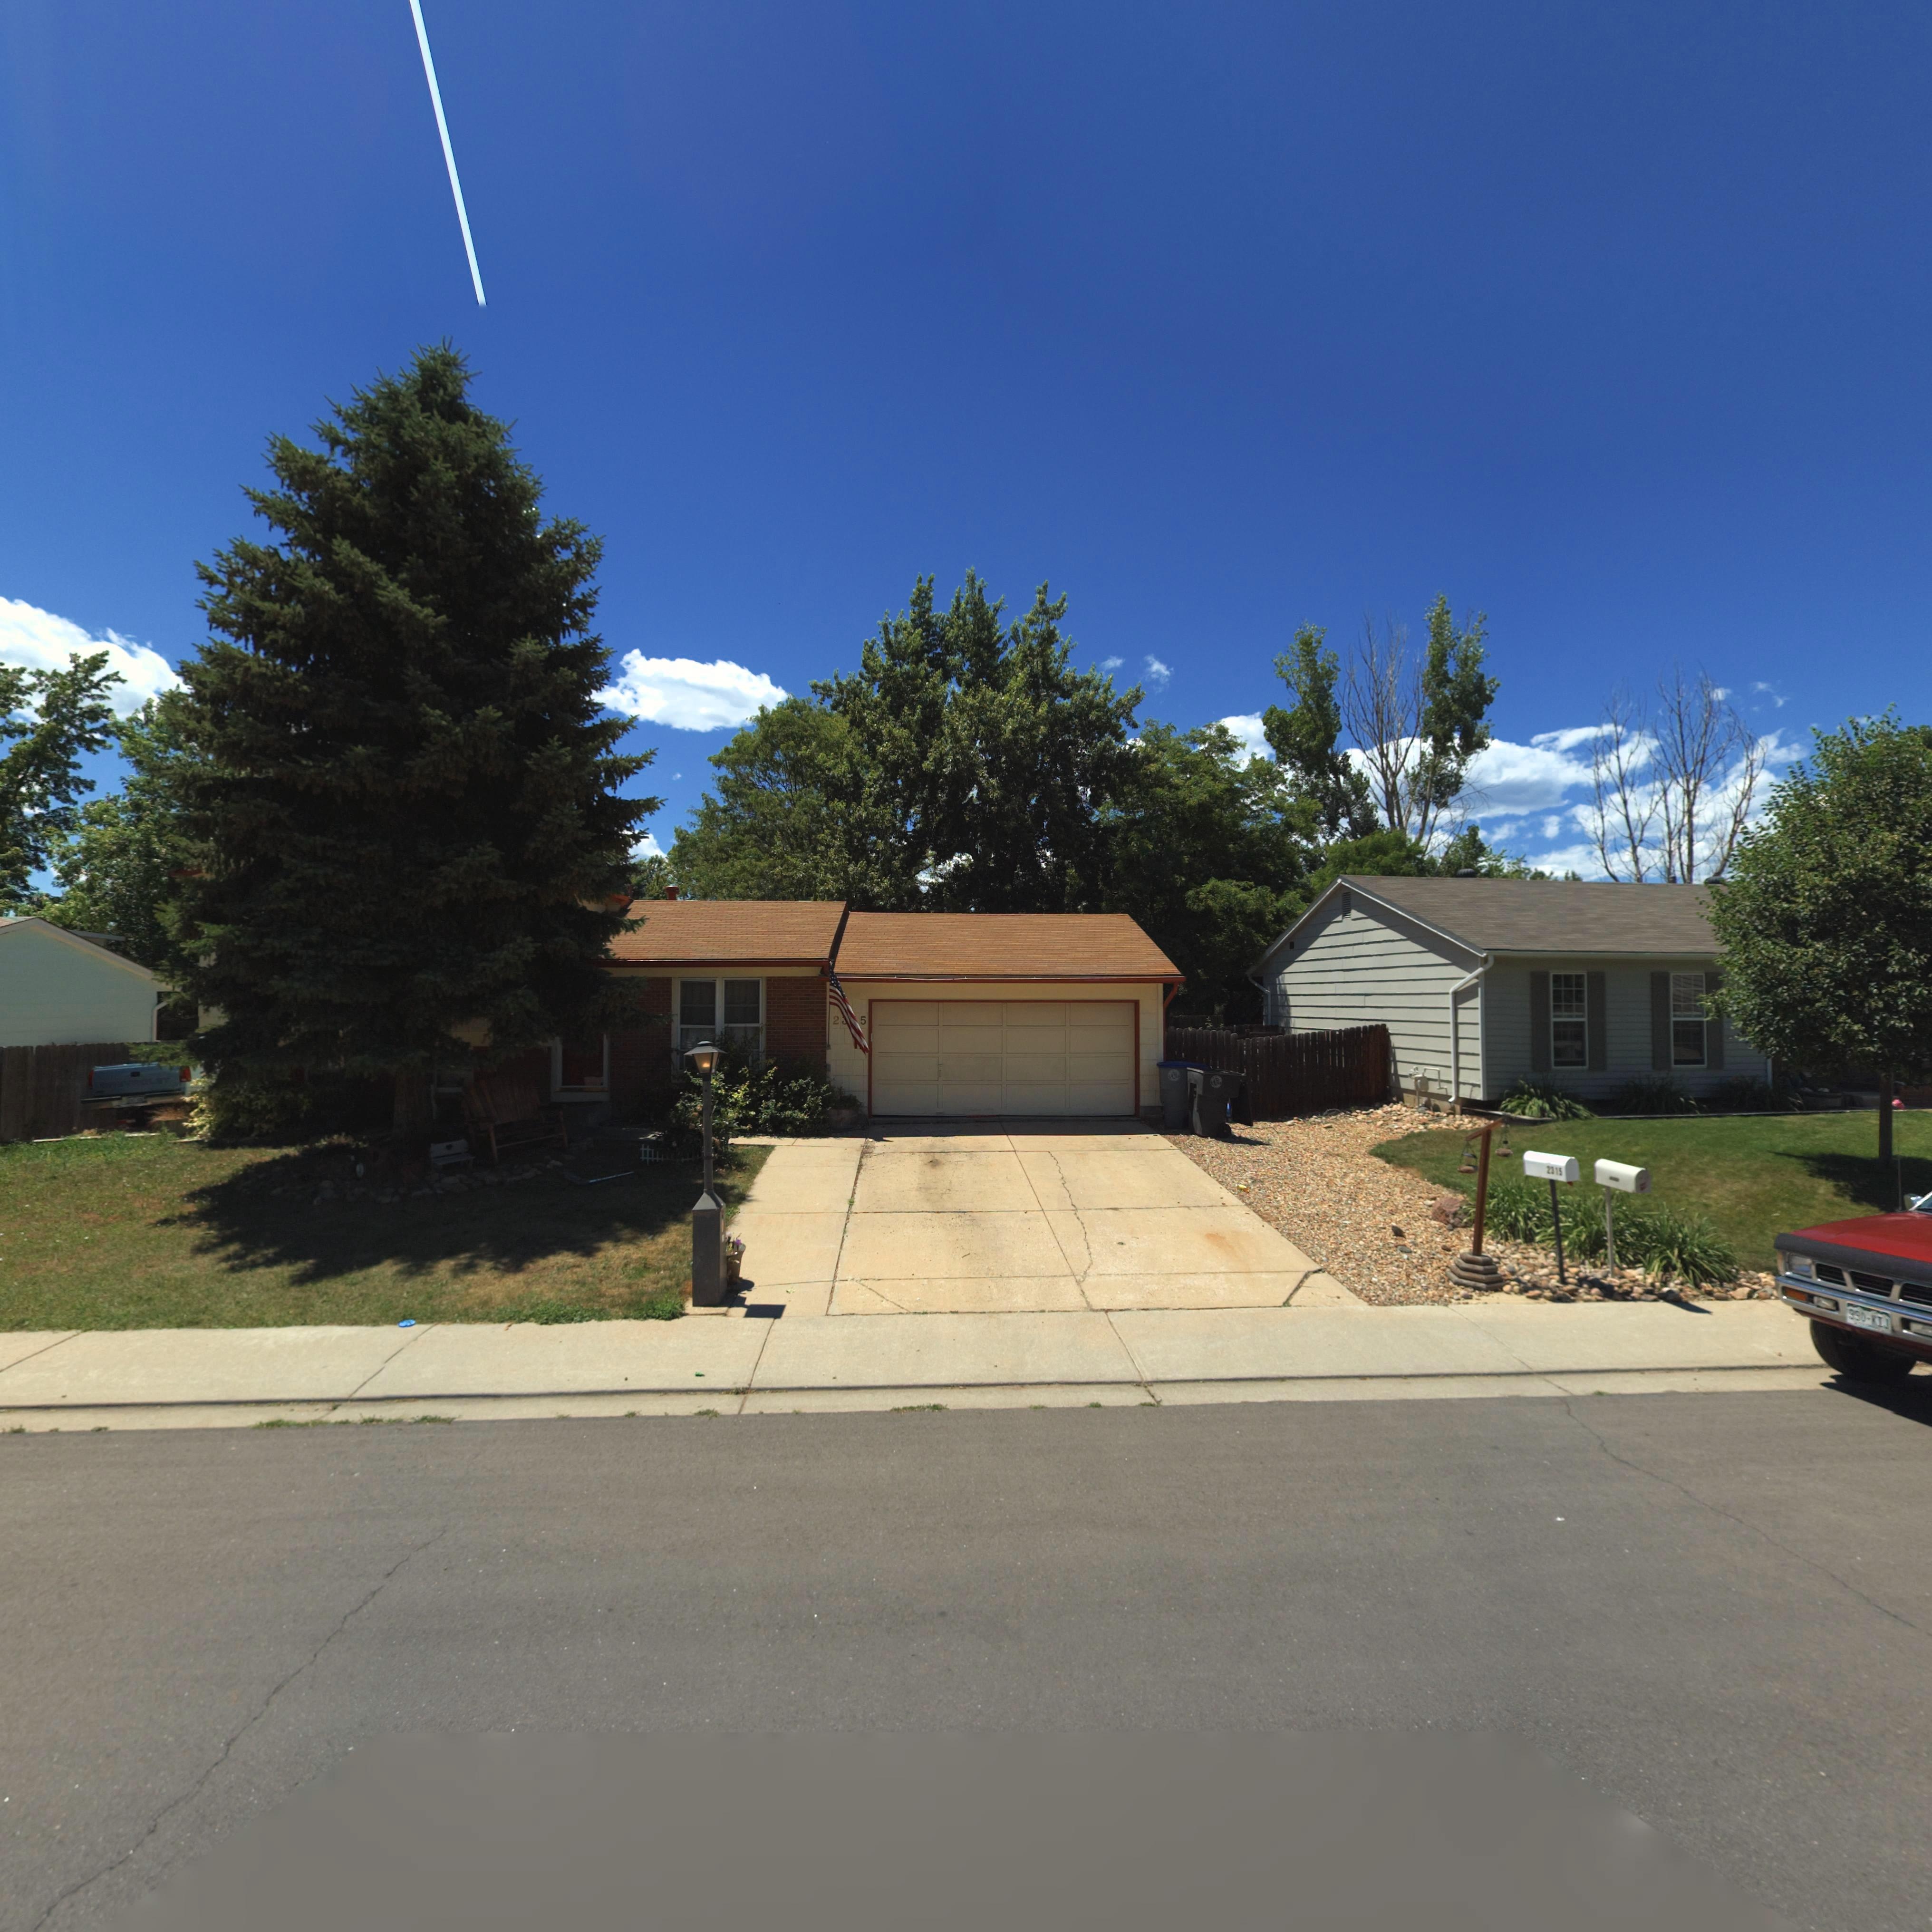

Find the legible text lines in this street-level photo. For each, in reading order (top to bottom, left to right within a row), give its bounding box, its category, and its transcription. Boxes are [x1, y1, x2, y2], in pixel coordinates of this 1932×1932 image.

[832, 1015, 867, 1025] StreetNumber: 2**5
[1546, 1165, 1563, 1176] StreetNumber: 2315